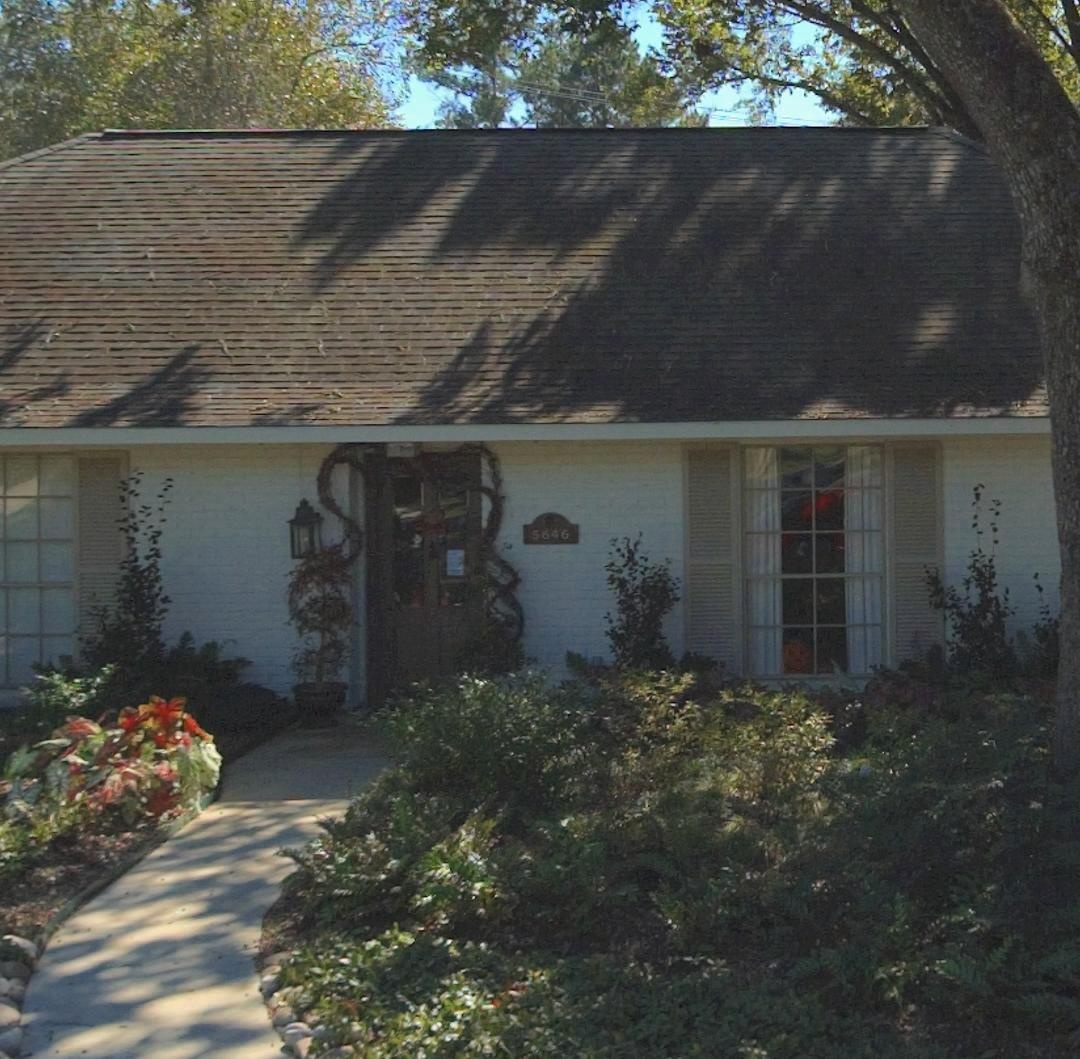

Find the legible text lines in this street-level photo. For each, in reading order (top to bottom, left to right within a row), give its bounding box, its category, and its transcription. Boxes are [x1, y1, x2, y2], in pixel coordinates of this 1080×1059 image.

[530, 527, 572, 543] StreetNumber: 5646